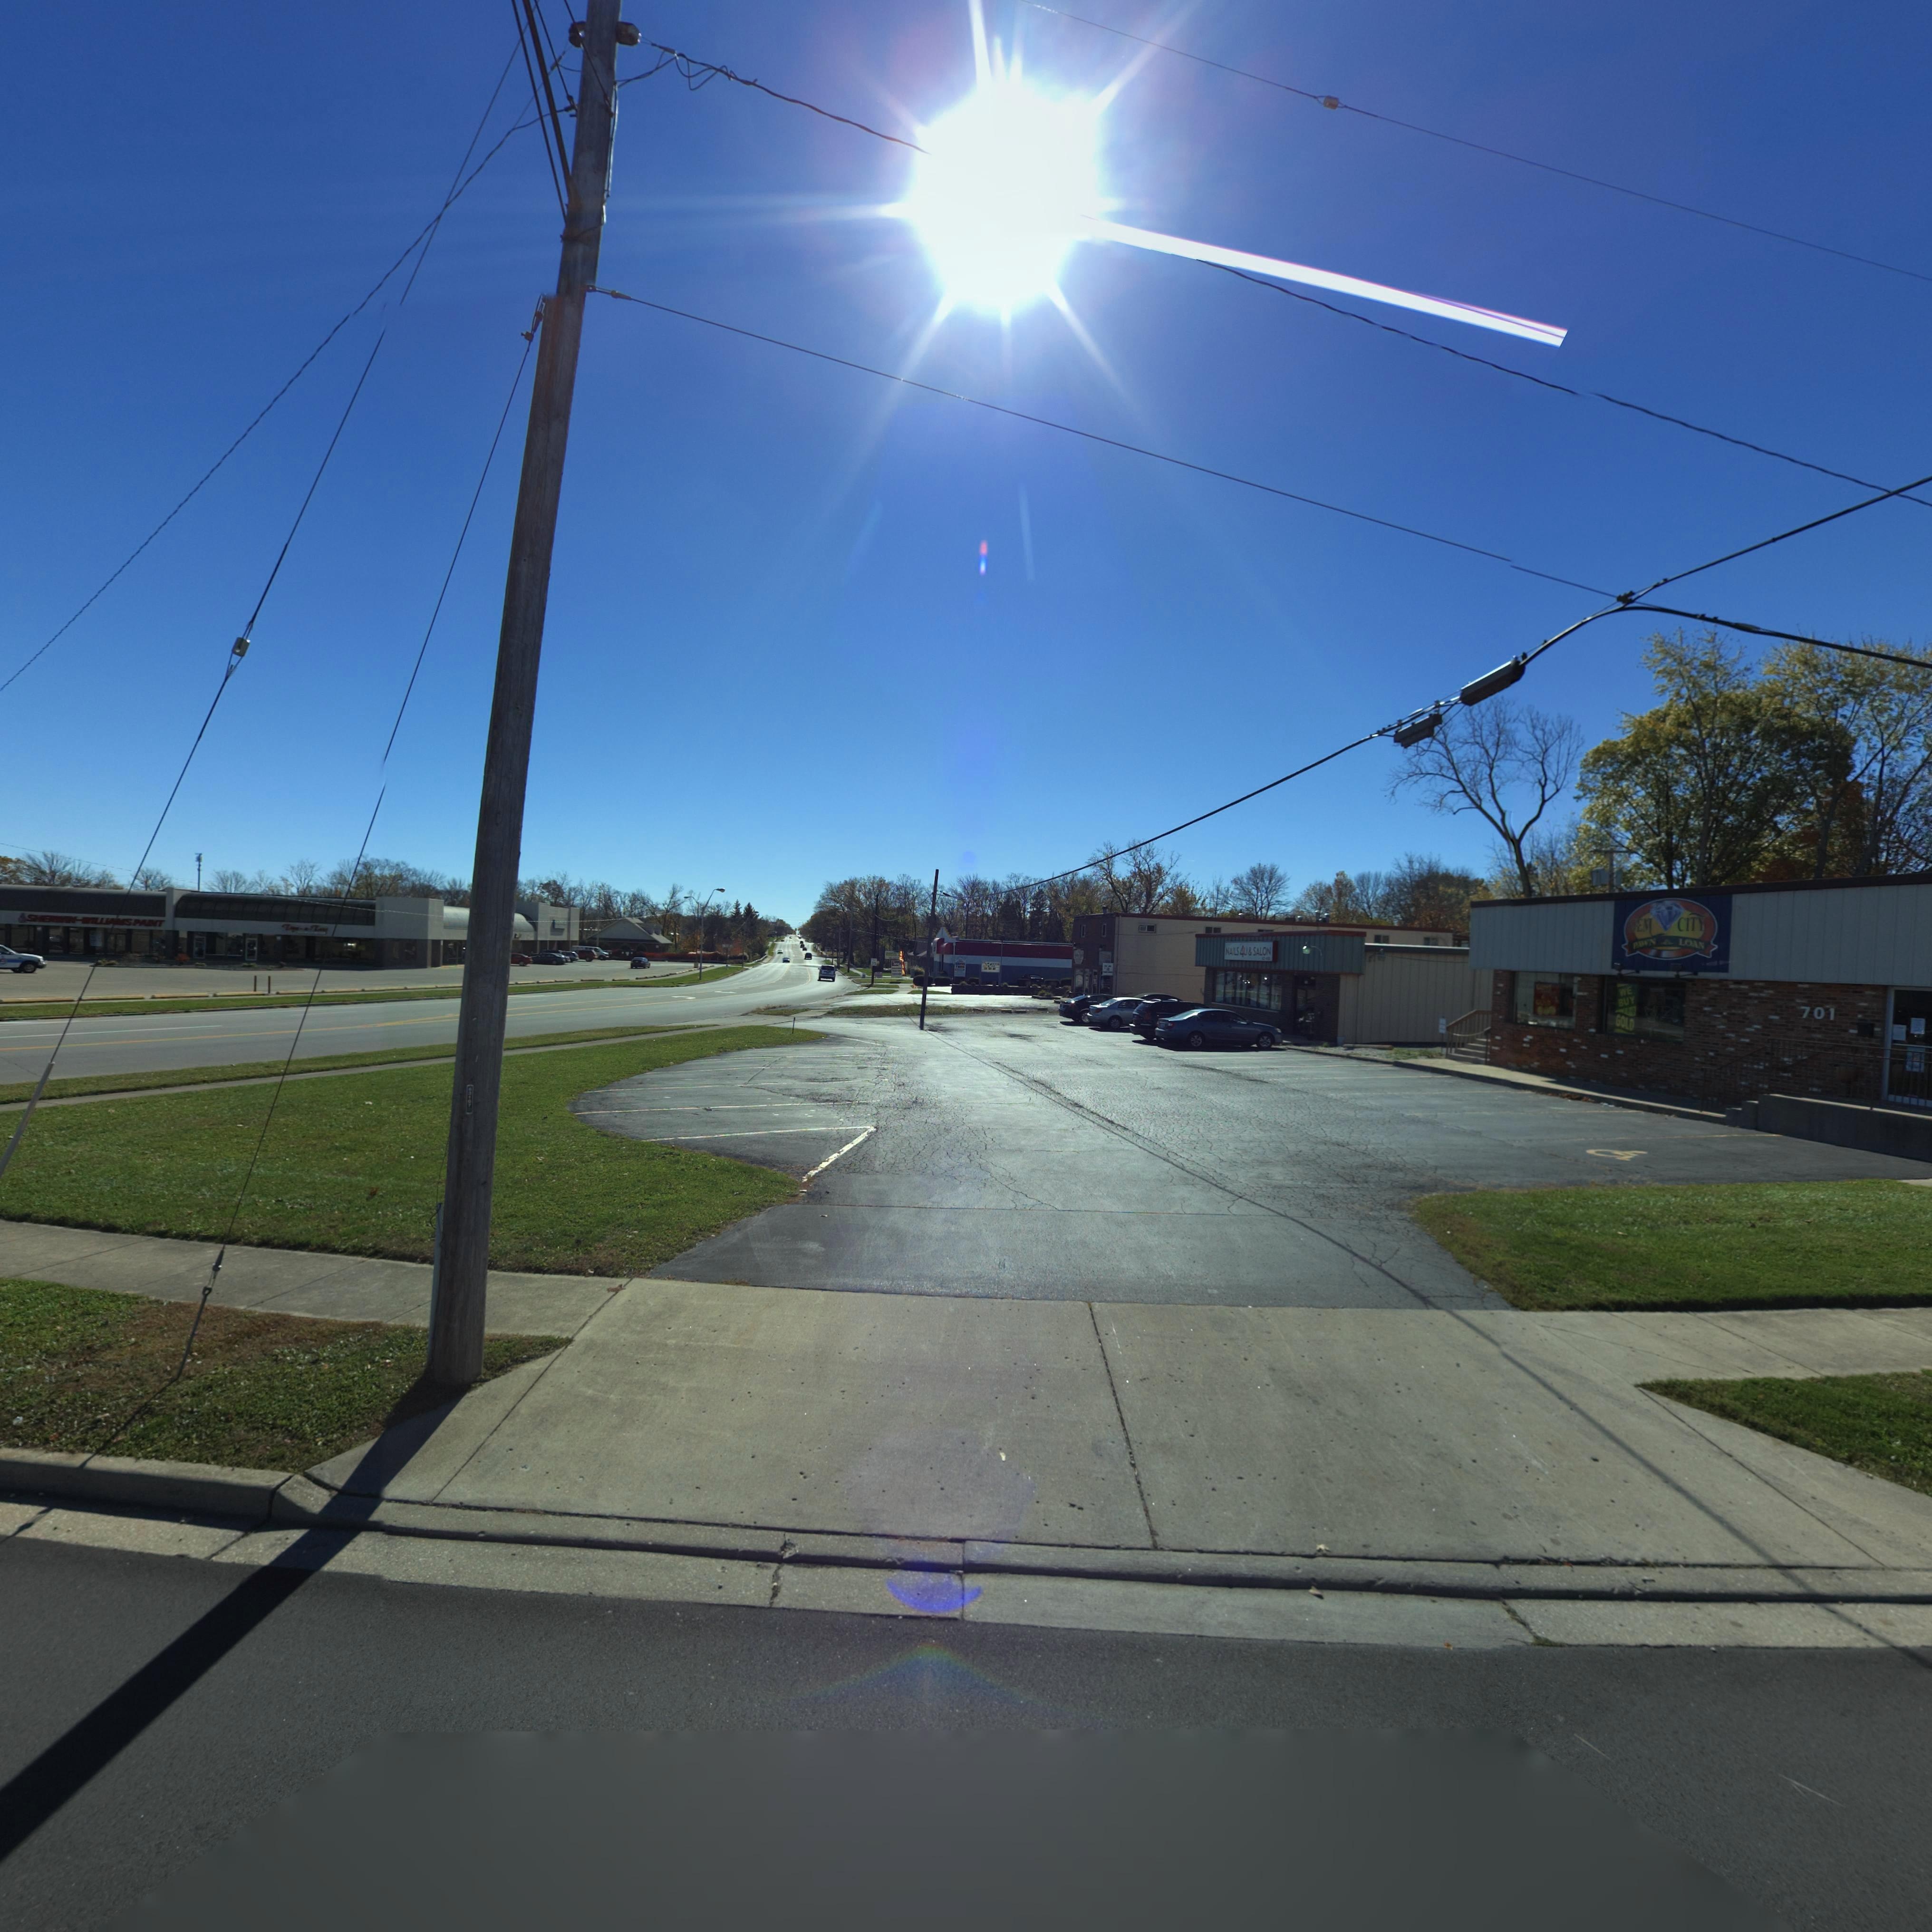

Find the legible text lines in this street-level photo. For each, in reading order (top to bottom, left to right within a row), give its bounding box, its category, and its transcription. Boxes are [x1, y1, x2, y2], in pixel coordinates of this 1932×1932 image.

[1799, 1005, 1835, 1021] StreetNumber: 701